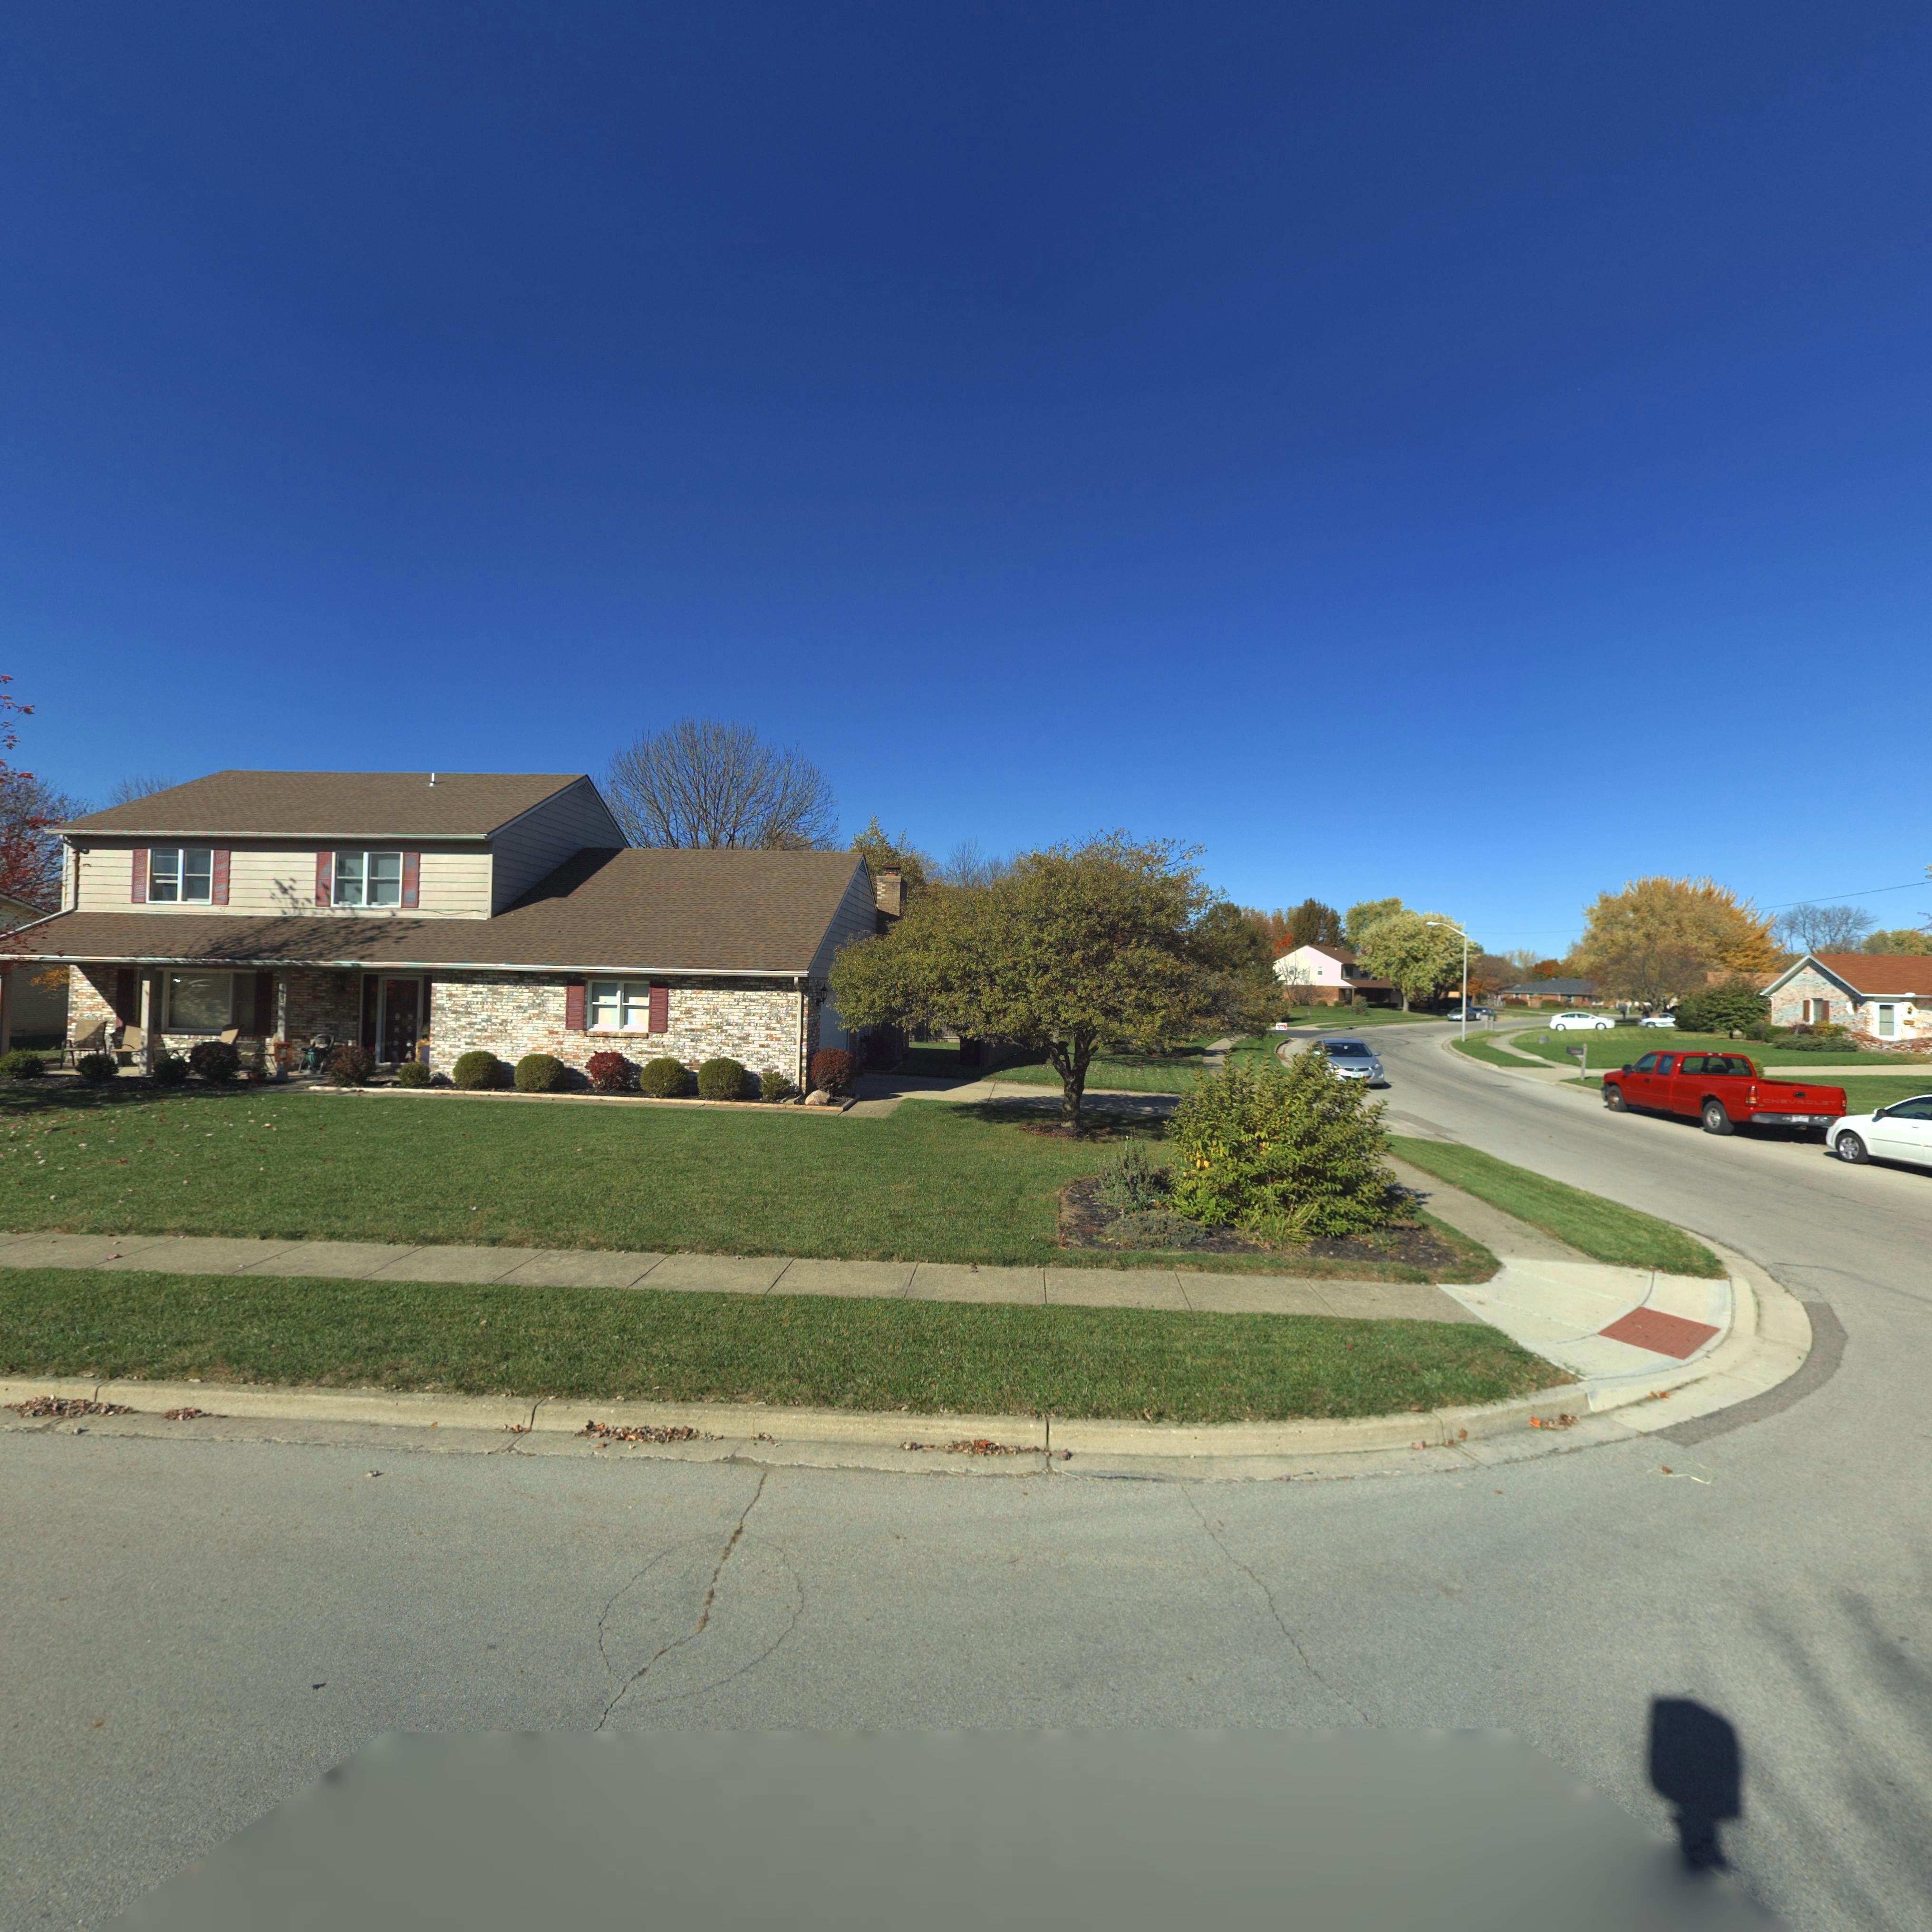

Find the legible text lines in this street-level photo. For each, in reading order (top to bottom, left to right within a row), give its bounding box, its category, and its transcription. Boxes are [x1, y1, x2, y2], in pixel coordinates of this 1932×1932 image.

[279, 983, 286, 1010] StreetNumber: 4*35